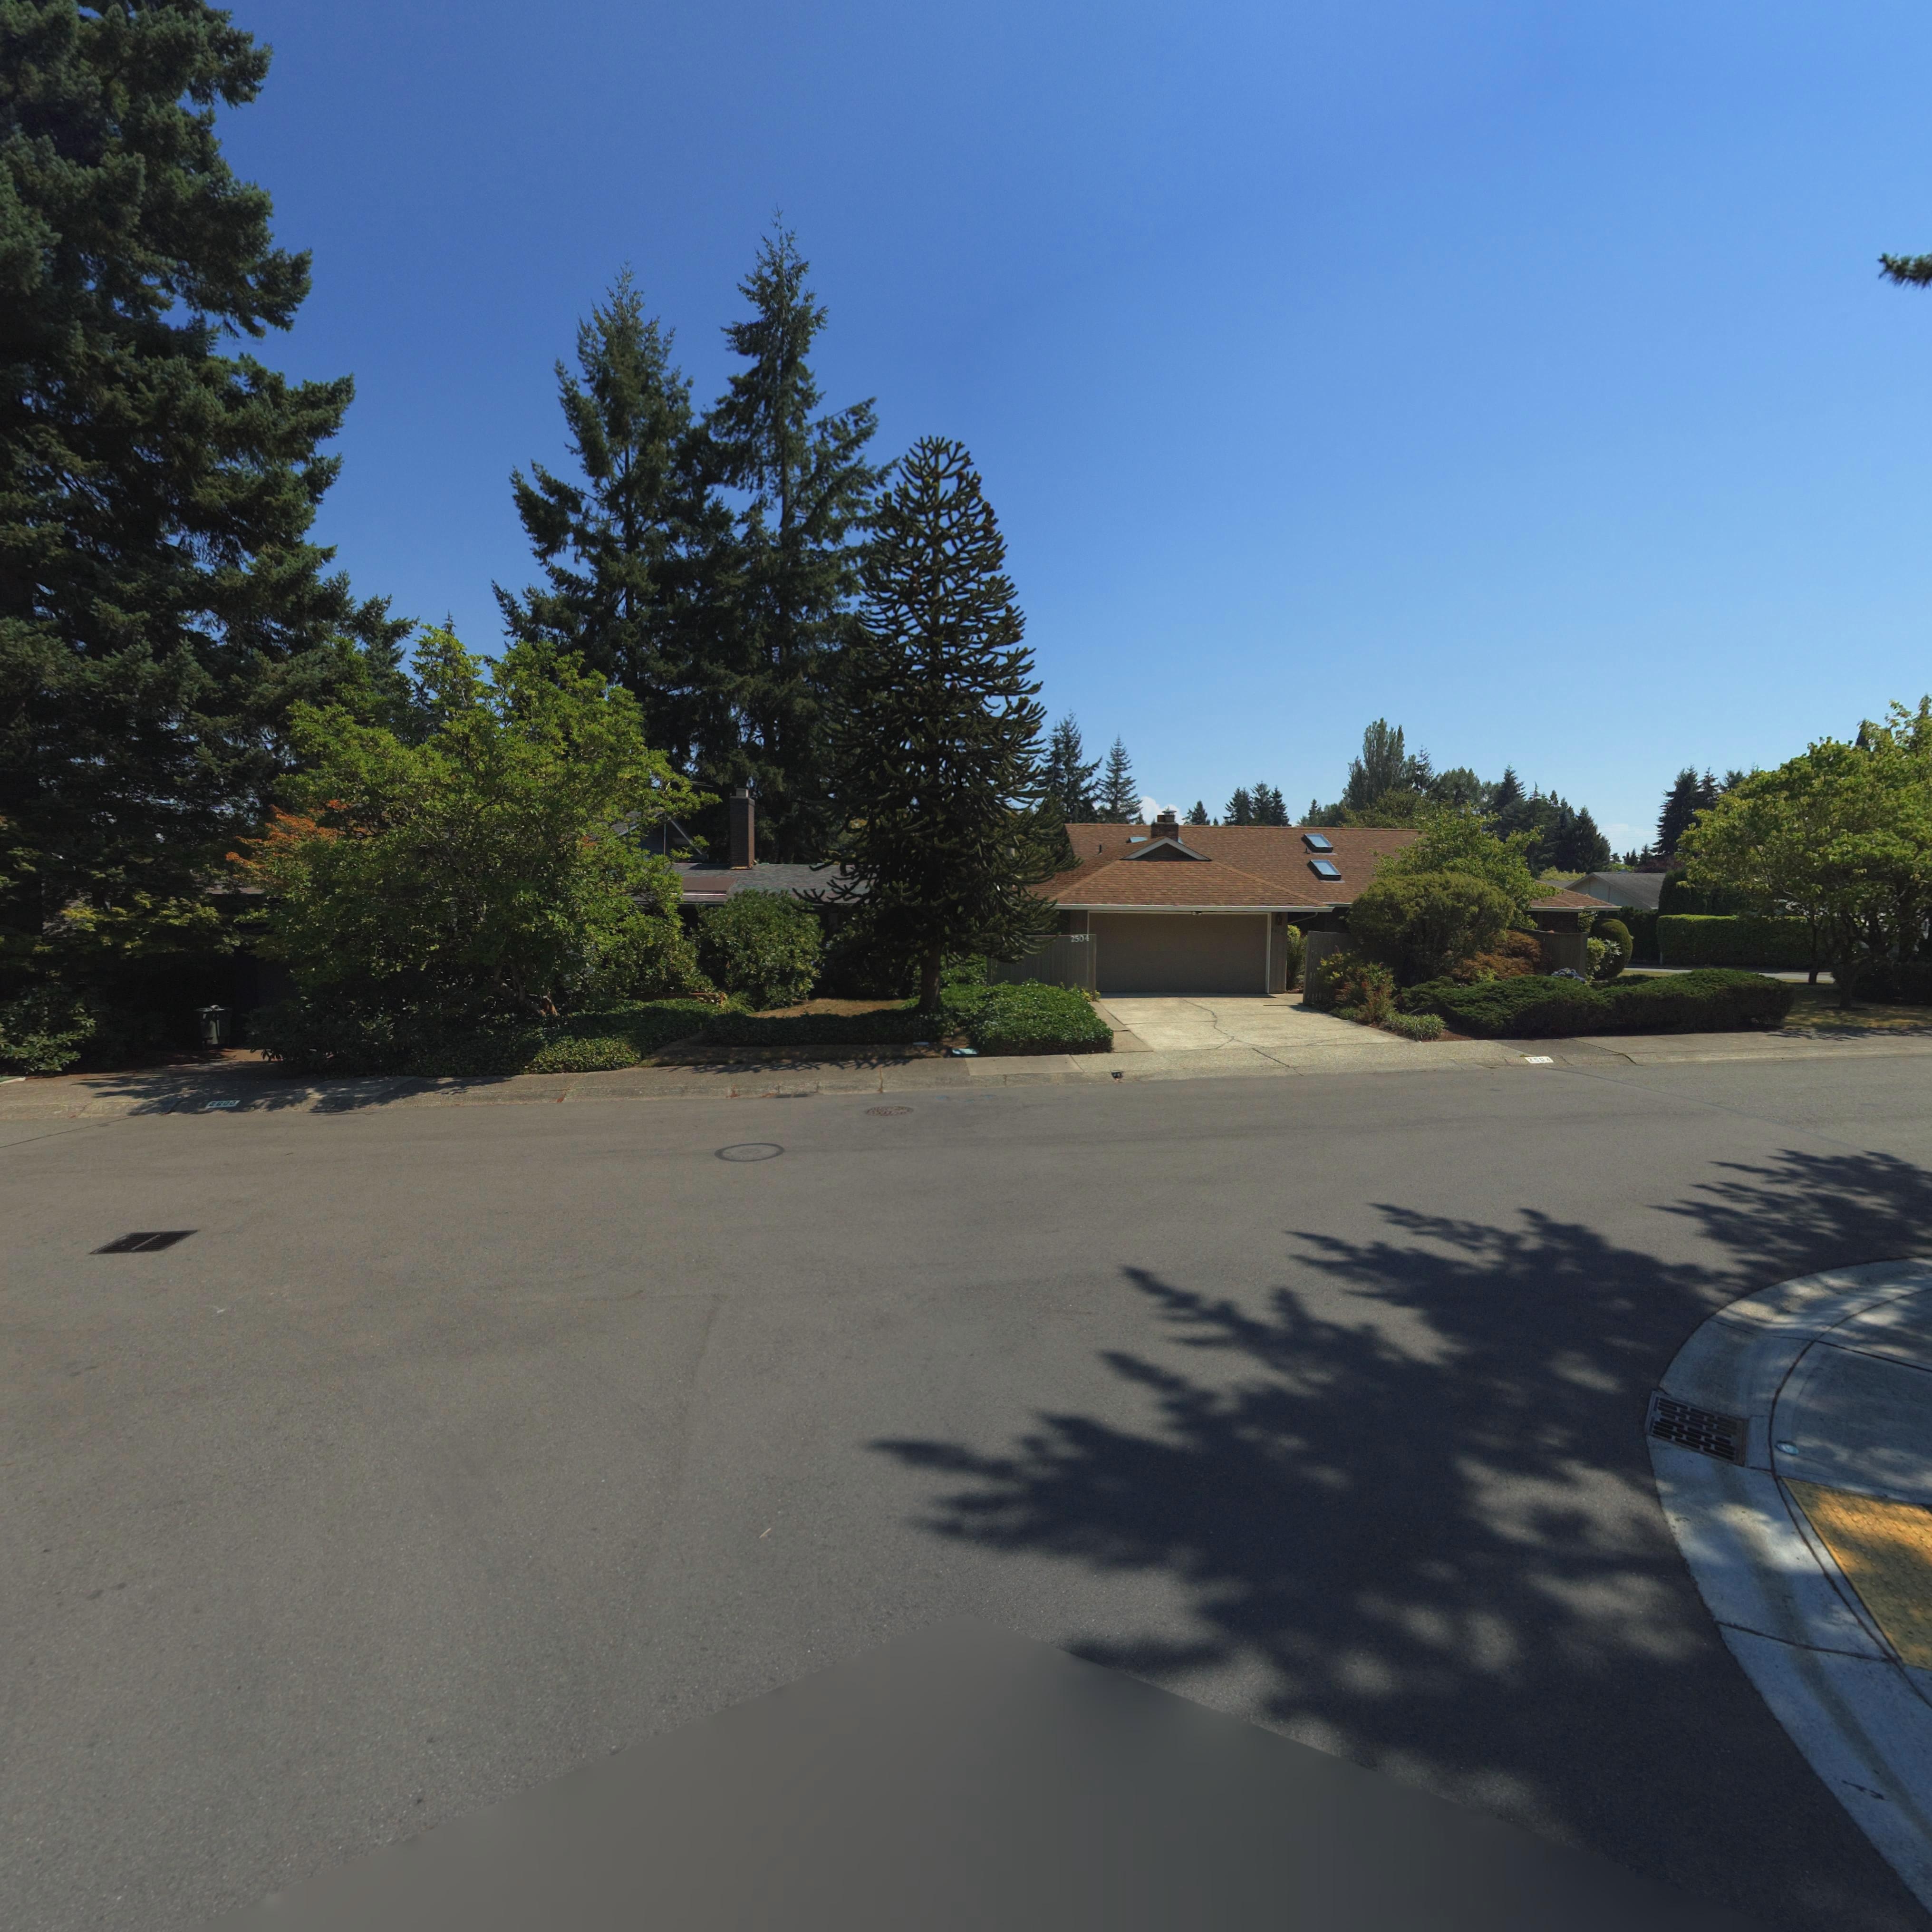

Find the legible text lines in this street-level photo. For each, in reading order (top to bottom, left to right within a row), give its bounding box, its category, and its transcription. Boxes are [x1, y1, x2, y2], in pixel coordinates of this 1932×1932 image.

[1069, 934, 1091, 943] StreetNumber: 2504
[1526, 1055, 1555, 1064] StreetNumber: 2504